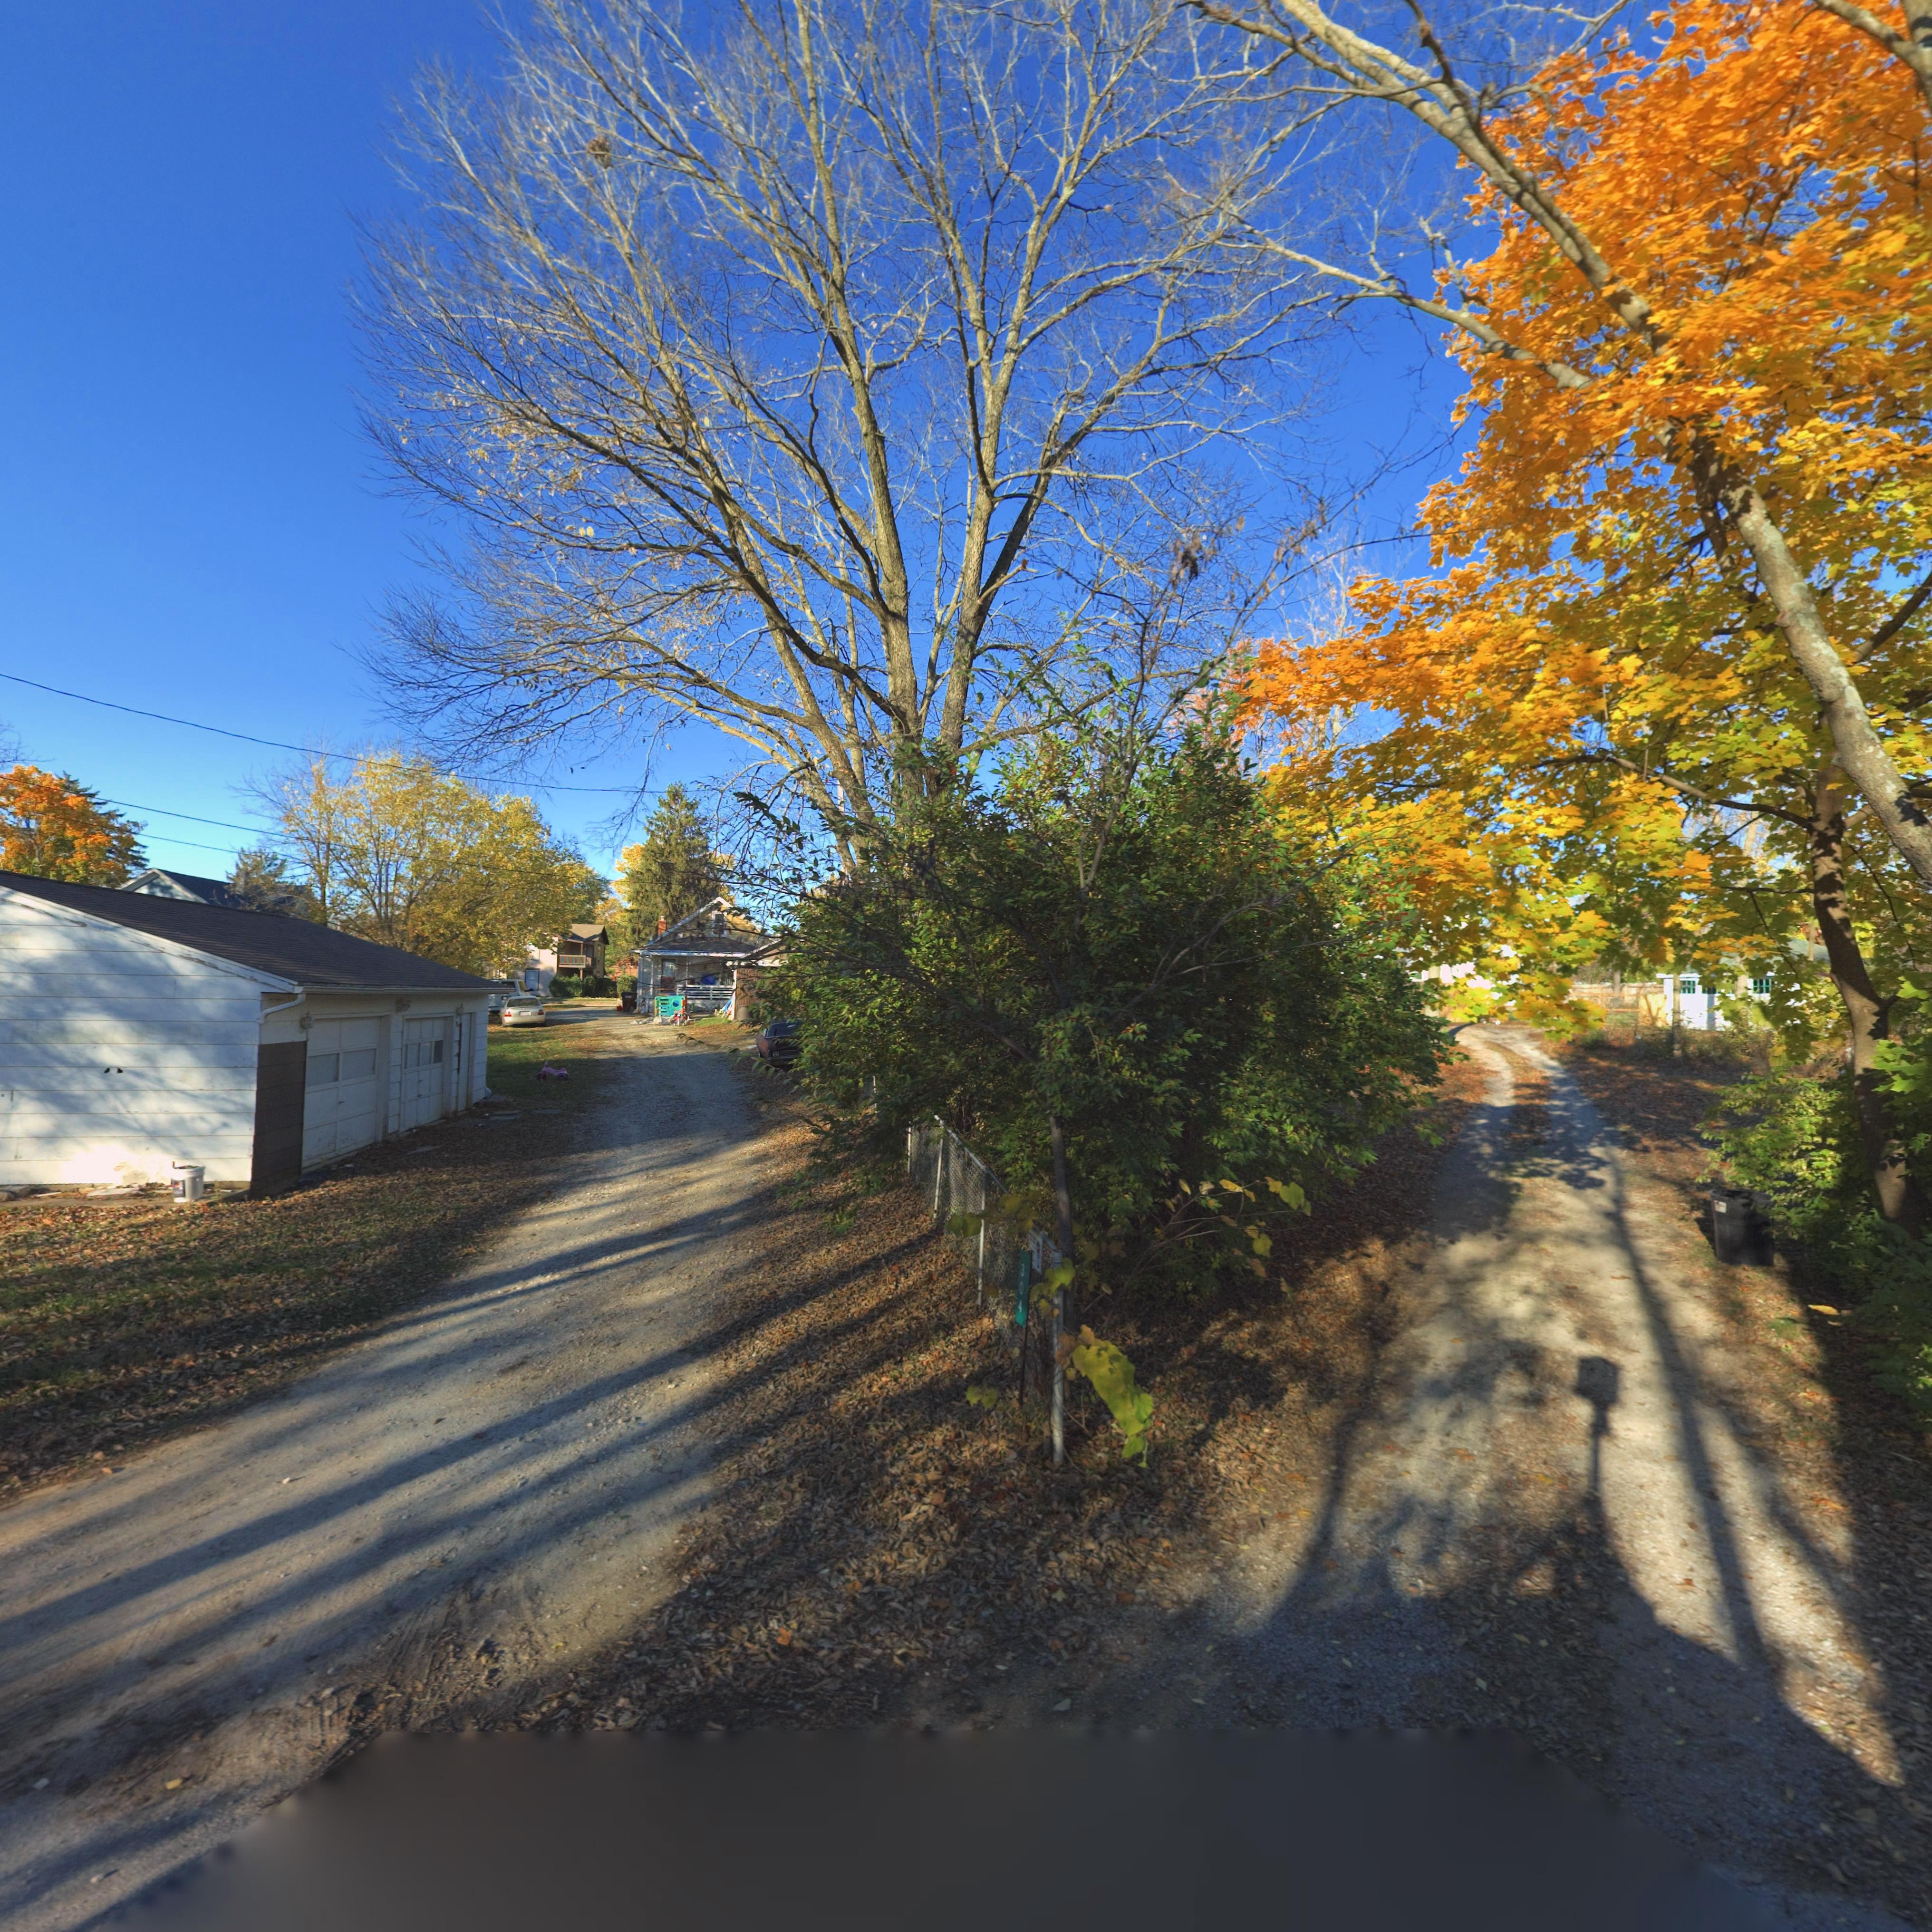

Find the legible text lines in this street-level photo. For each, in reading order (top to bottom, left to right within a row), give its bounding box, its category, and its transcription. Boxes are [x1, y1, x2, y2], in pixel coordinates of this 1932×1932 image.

[1017, 1262, 1026, 1314] StreetNumber: 304